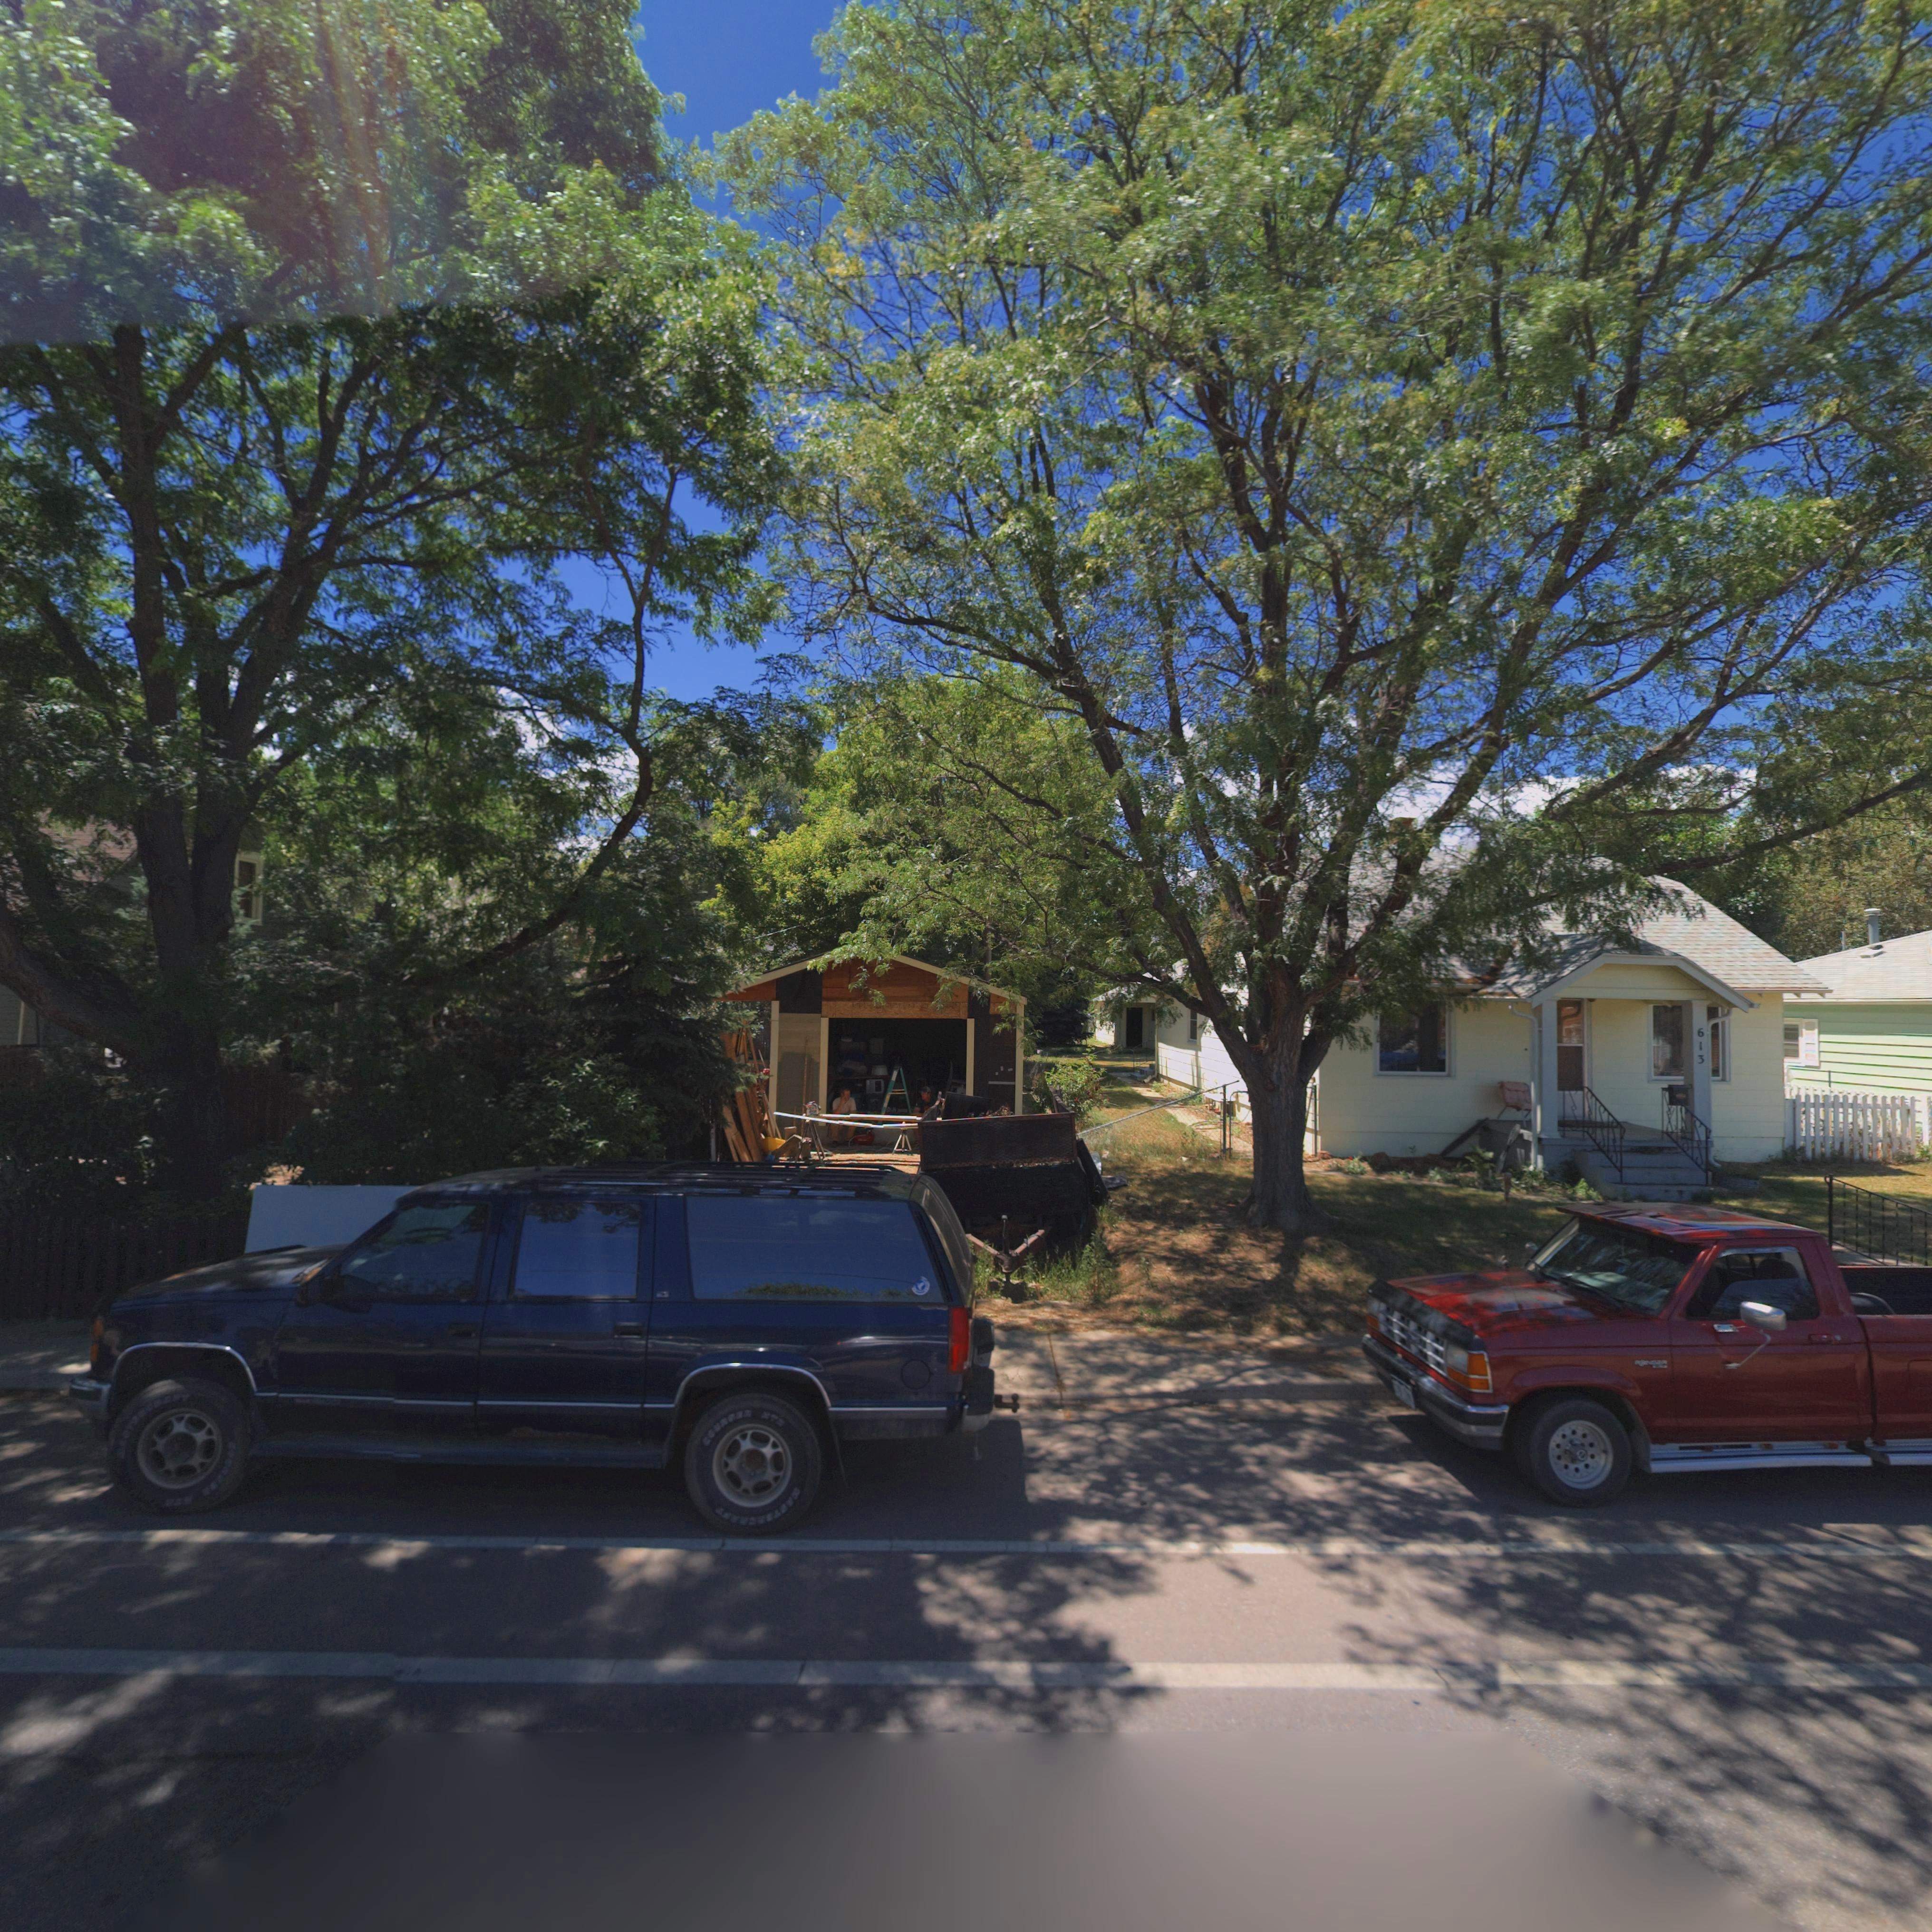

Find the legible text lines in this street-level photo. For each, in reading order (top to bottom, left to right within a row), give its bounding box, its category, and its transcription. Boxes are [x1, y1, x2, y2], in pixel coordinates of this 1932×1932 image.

[1697, 1027, 1705, 1064] StreetNumber: 613